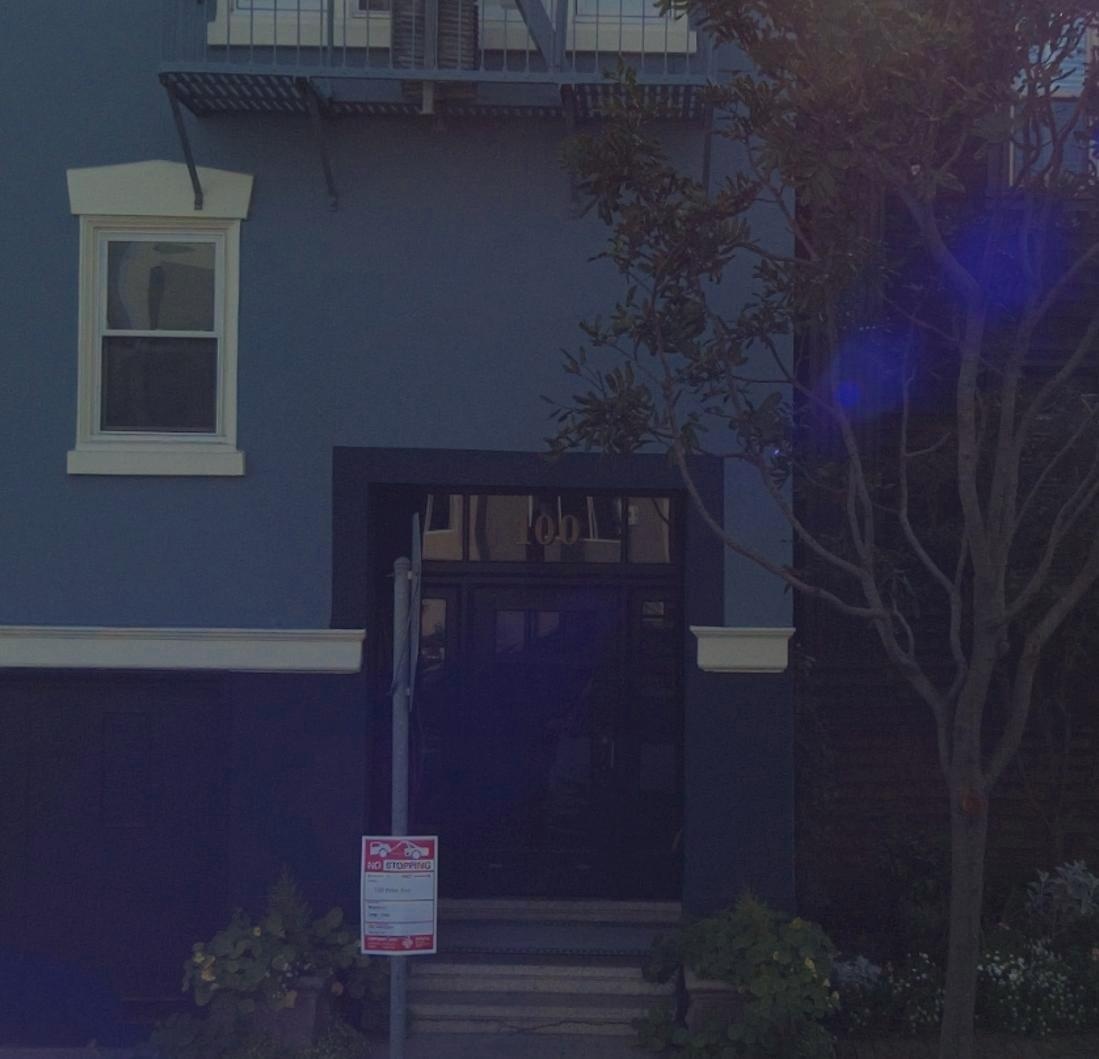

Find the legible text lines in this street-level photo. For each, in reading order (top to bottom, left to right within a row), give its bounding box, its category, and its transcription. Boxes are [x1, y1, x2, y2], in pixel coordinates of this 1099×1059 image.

[514, 510, 581, 548] StreetNumber: 100
[366, 859, 433, 872] None: NO STOPPING